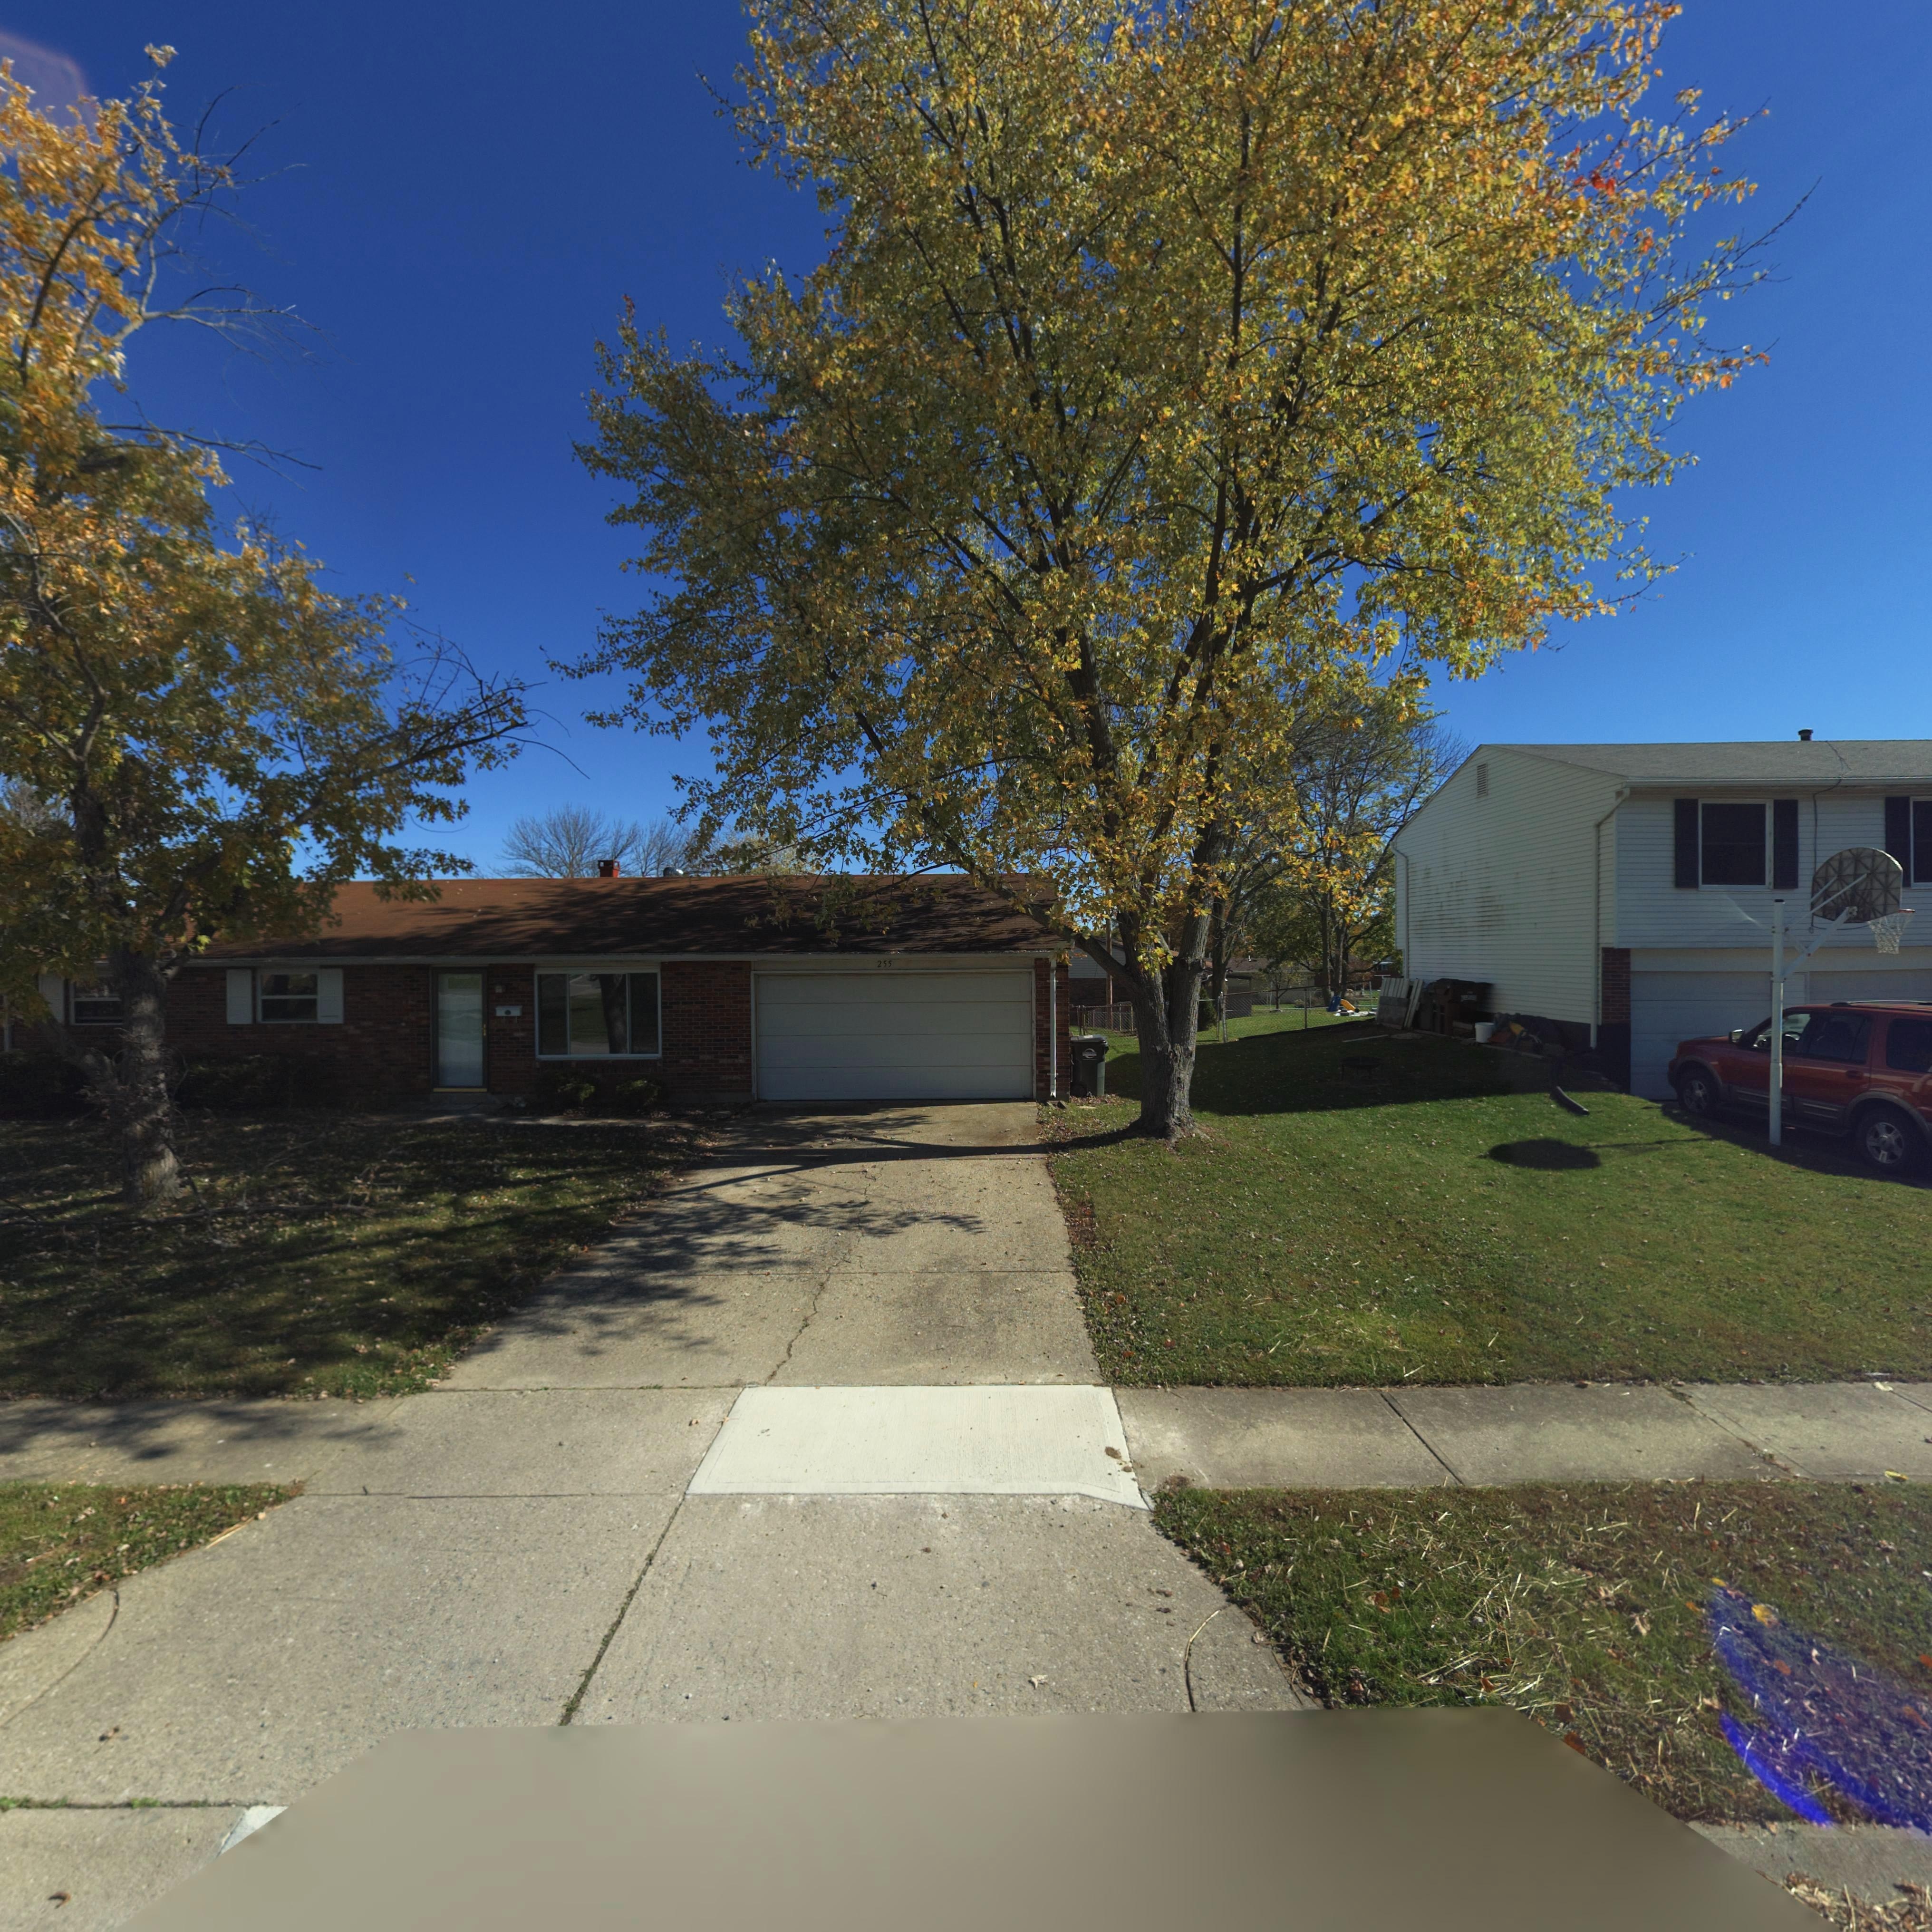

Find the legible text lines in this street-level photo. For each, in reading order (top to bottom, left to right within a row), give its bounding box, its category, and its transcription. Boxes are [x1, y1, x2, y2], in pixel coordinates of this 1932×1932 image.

[876, 959, 893, 968] StreetNumber: 255